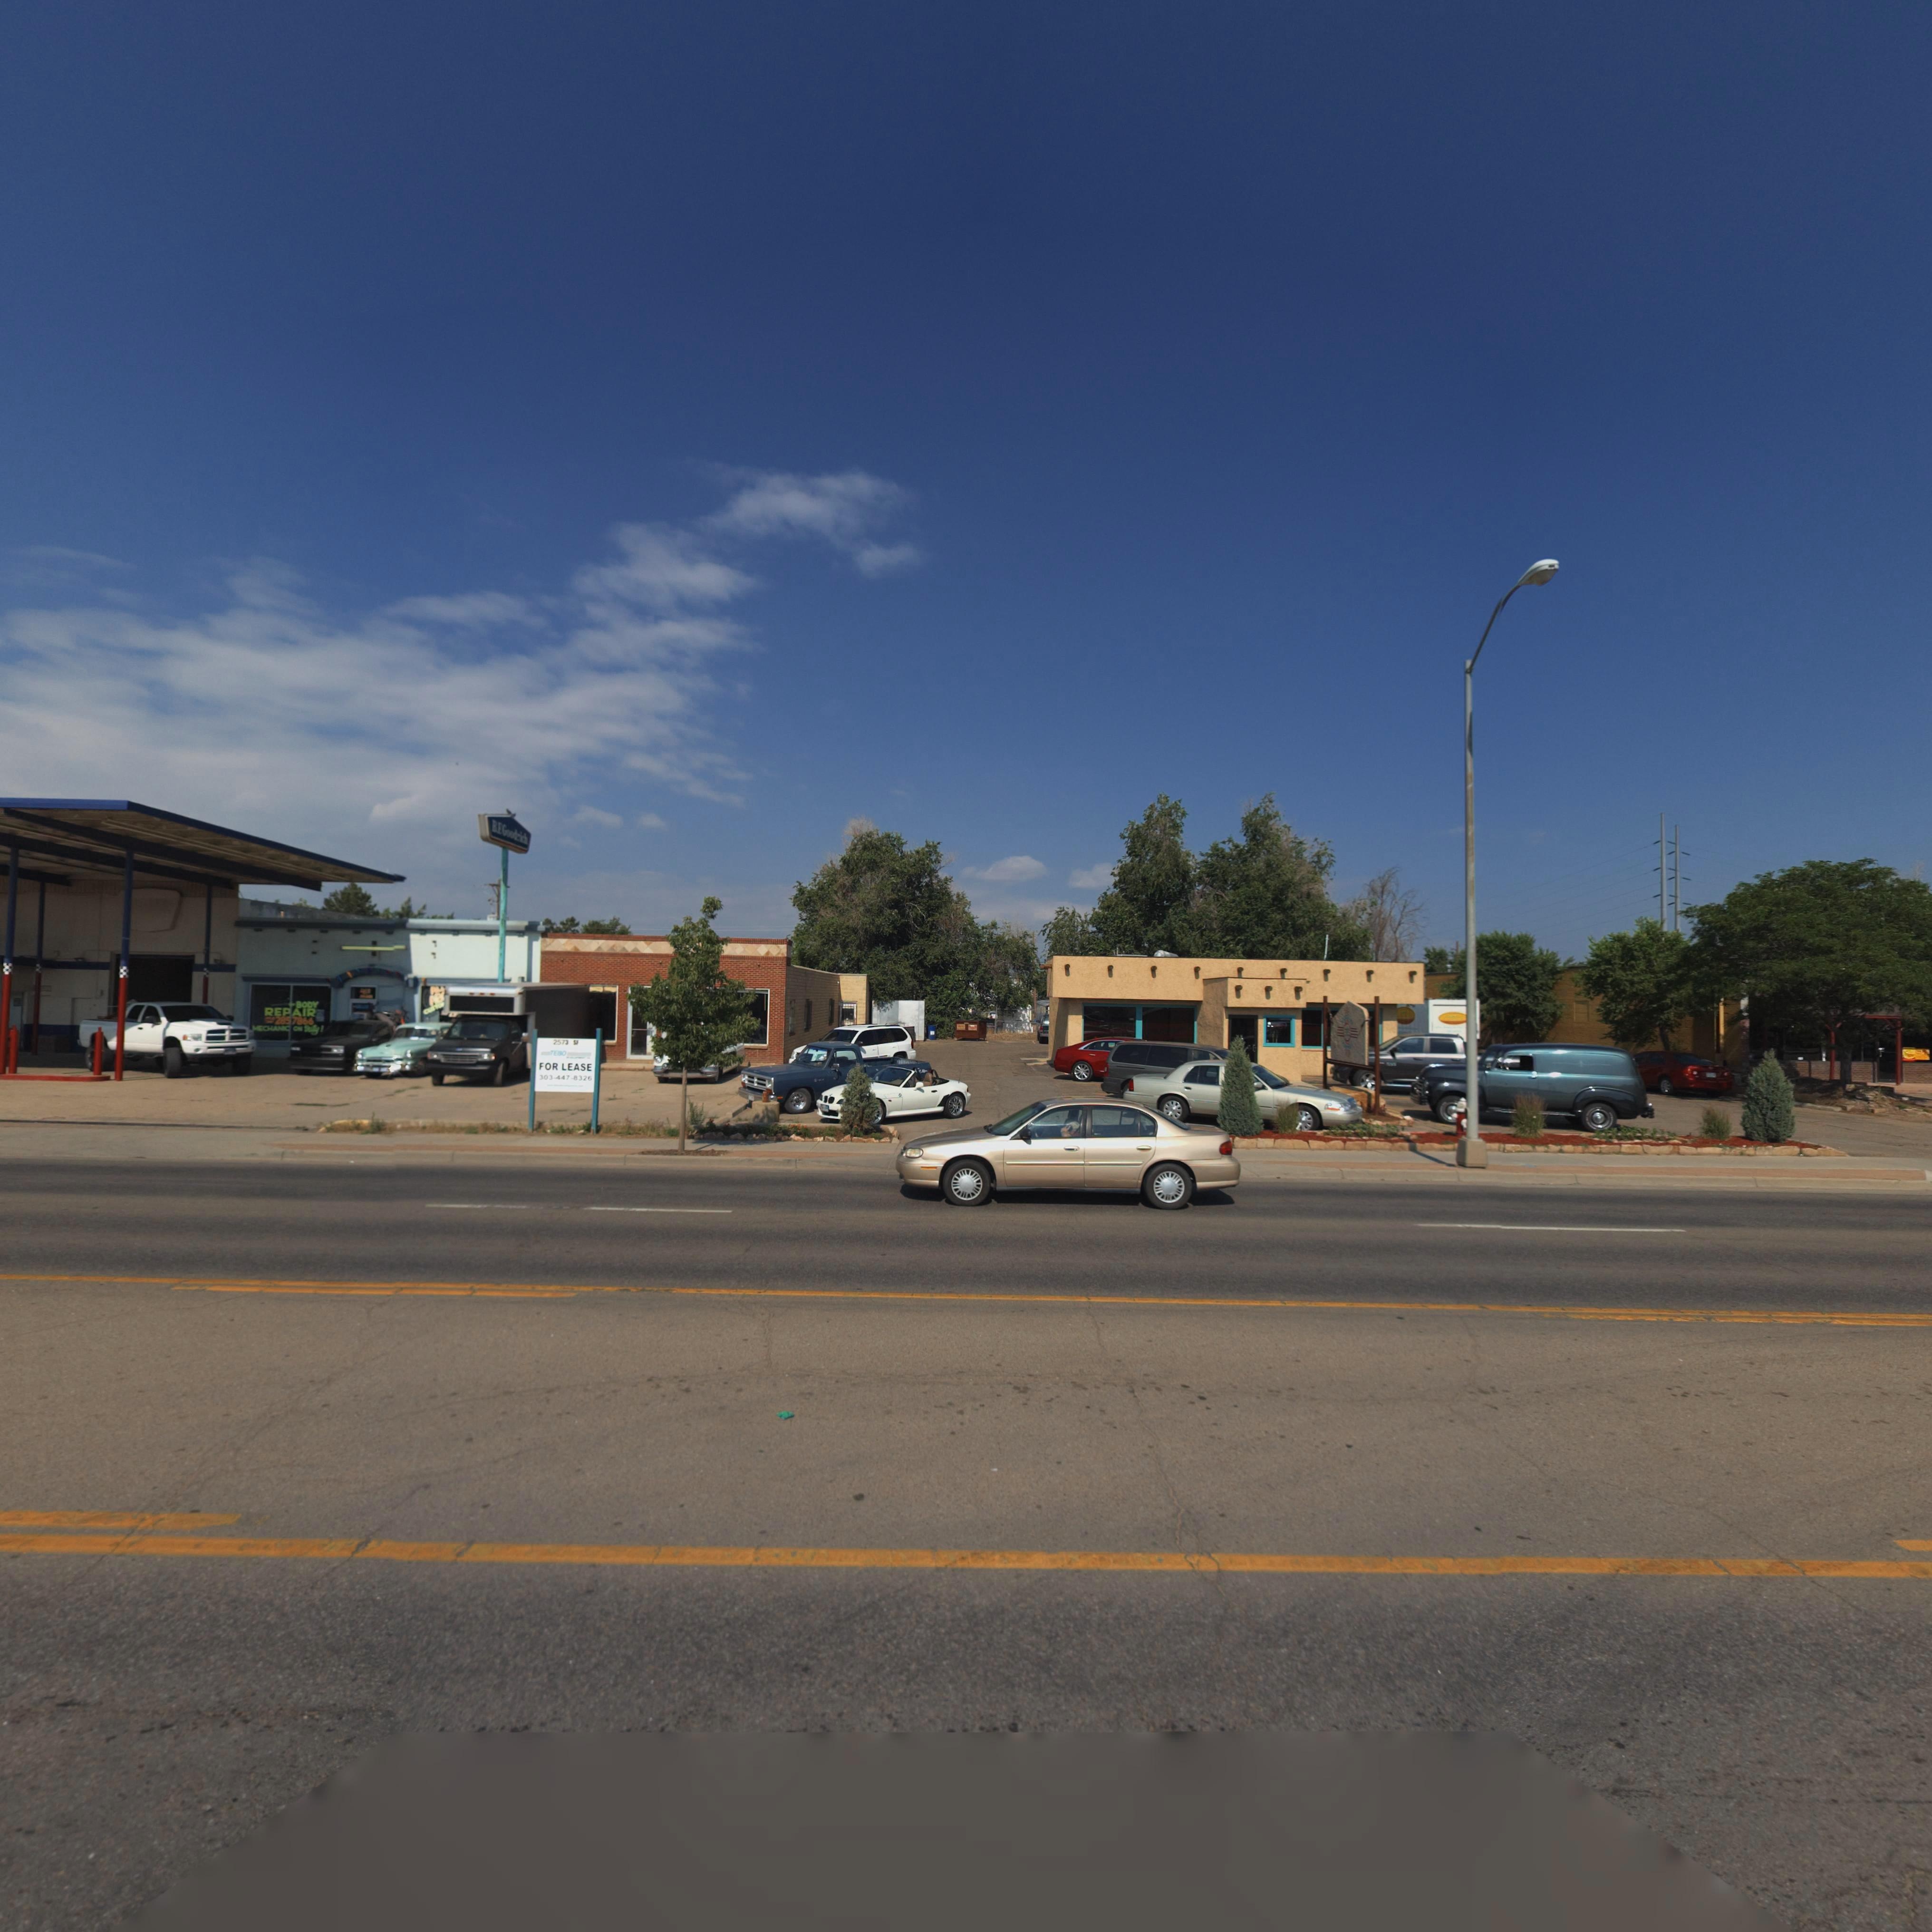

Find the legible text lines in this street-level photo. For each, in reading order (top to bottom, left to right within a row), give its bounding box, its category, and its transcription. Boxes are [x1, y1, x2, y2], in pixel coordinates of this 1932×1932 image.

[359, 988, 367, 994] StreetNumber: 41
[367, 988, 371, 994] StreetName: S
[429, 986, 445, 995] BusinessName: ALL
[358, 994, 373, 998] StreetName: M***
[428, 991, 445, 1006] BusinessName: ABO